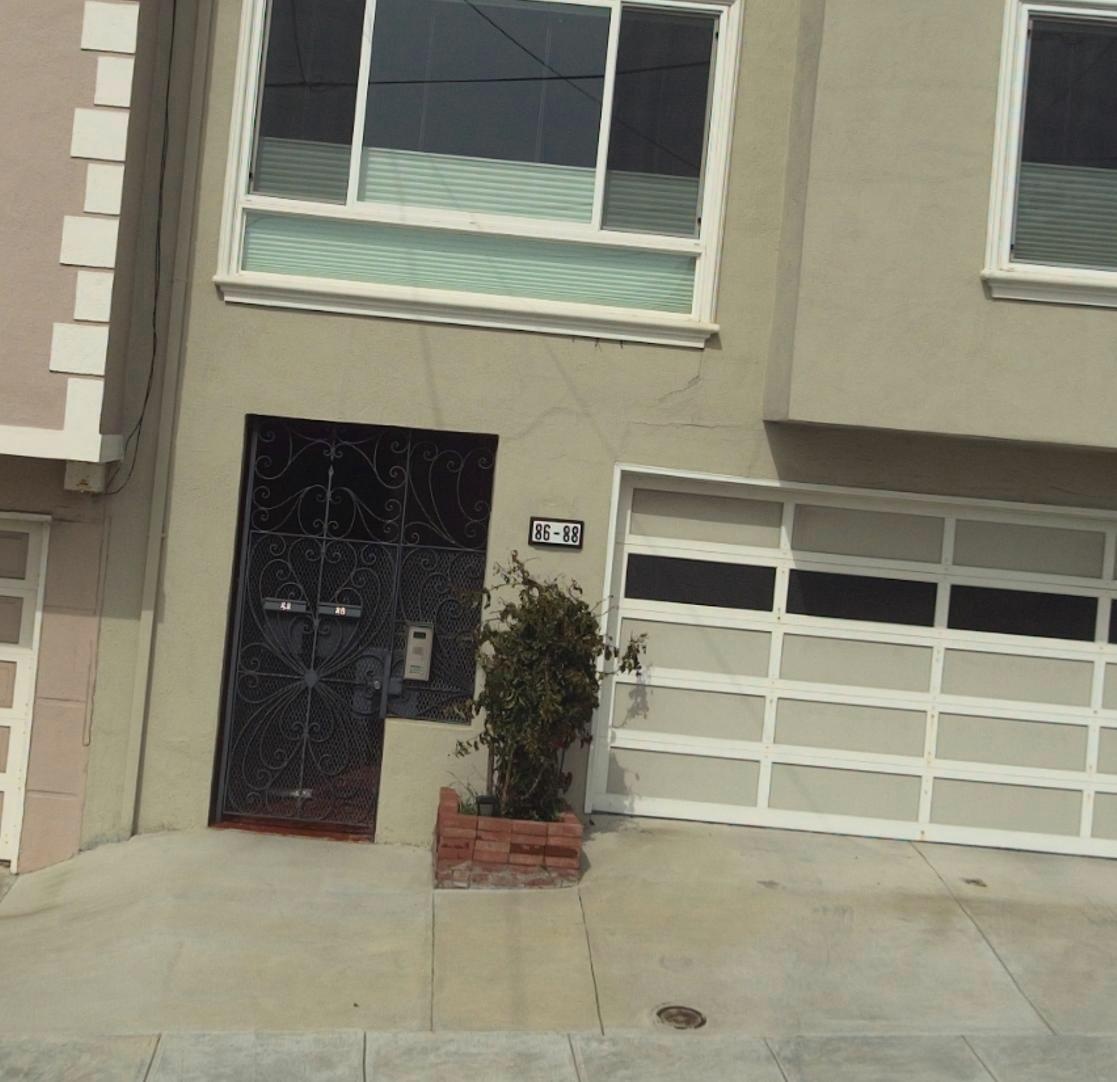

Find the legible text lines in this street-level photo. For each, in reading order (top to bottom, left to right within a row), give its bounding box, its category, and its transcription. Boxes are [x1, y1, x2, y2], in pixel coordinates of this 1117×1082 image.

[534, 523, 552, 542] StreetNumber: 86
[561, 524, 580, 544] StreetNumber: 88